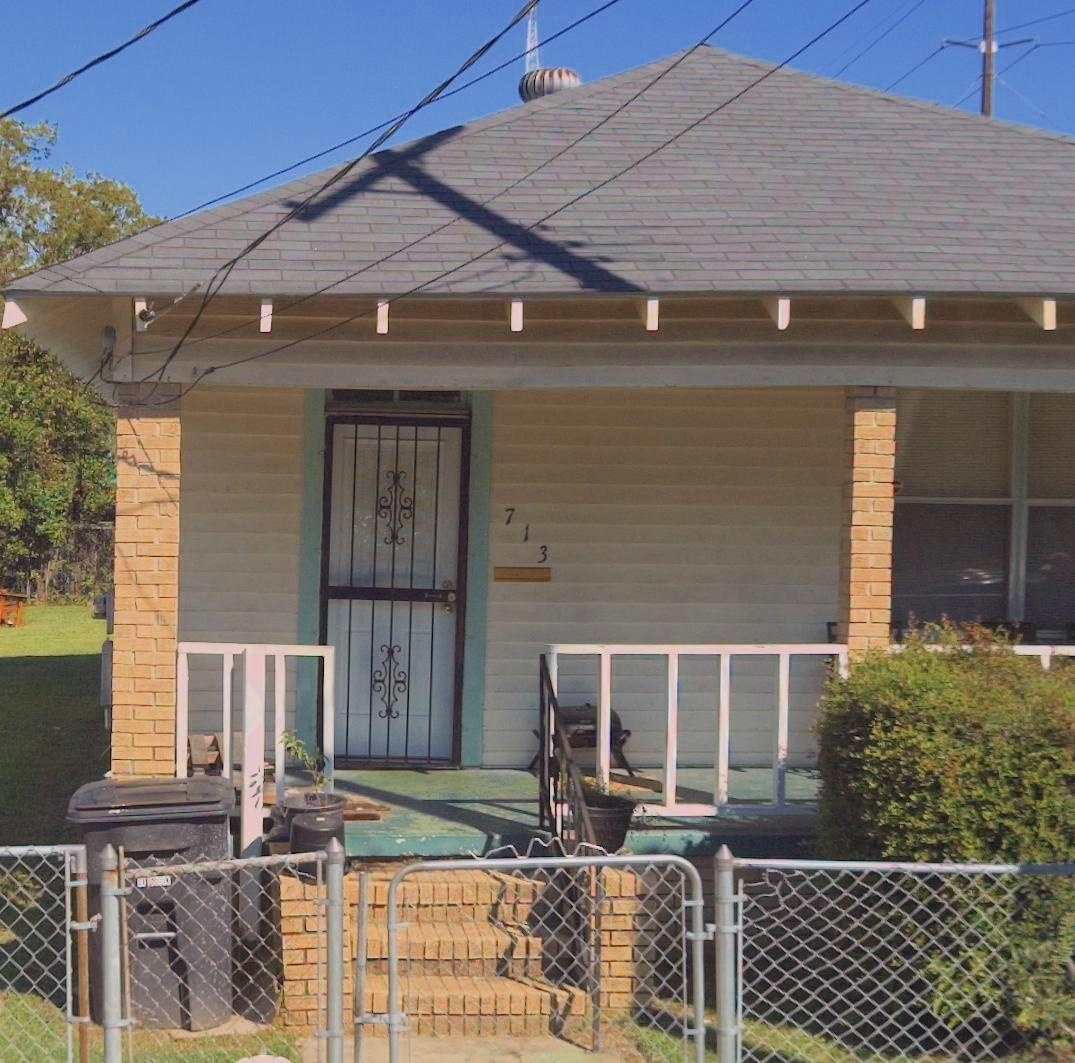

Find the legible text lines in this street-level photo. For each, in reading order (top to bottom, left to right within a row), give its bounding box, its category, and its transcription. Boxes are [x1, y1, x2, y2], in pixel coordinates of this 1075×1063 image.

[501, 500, 556, 571] StreetNumber: 713